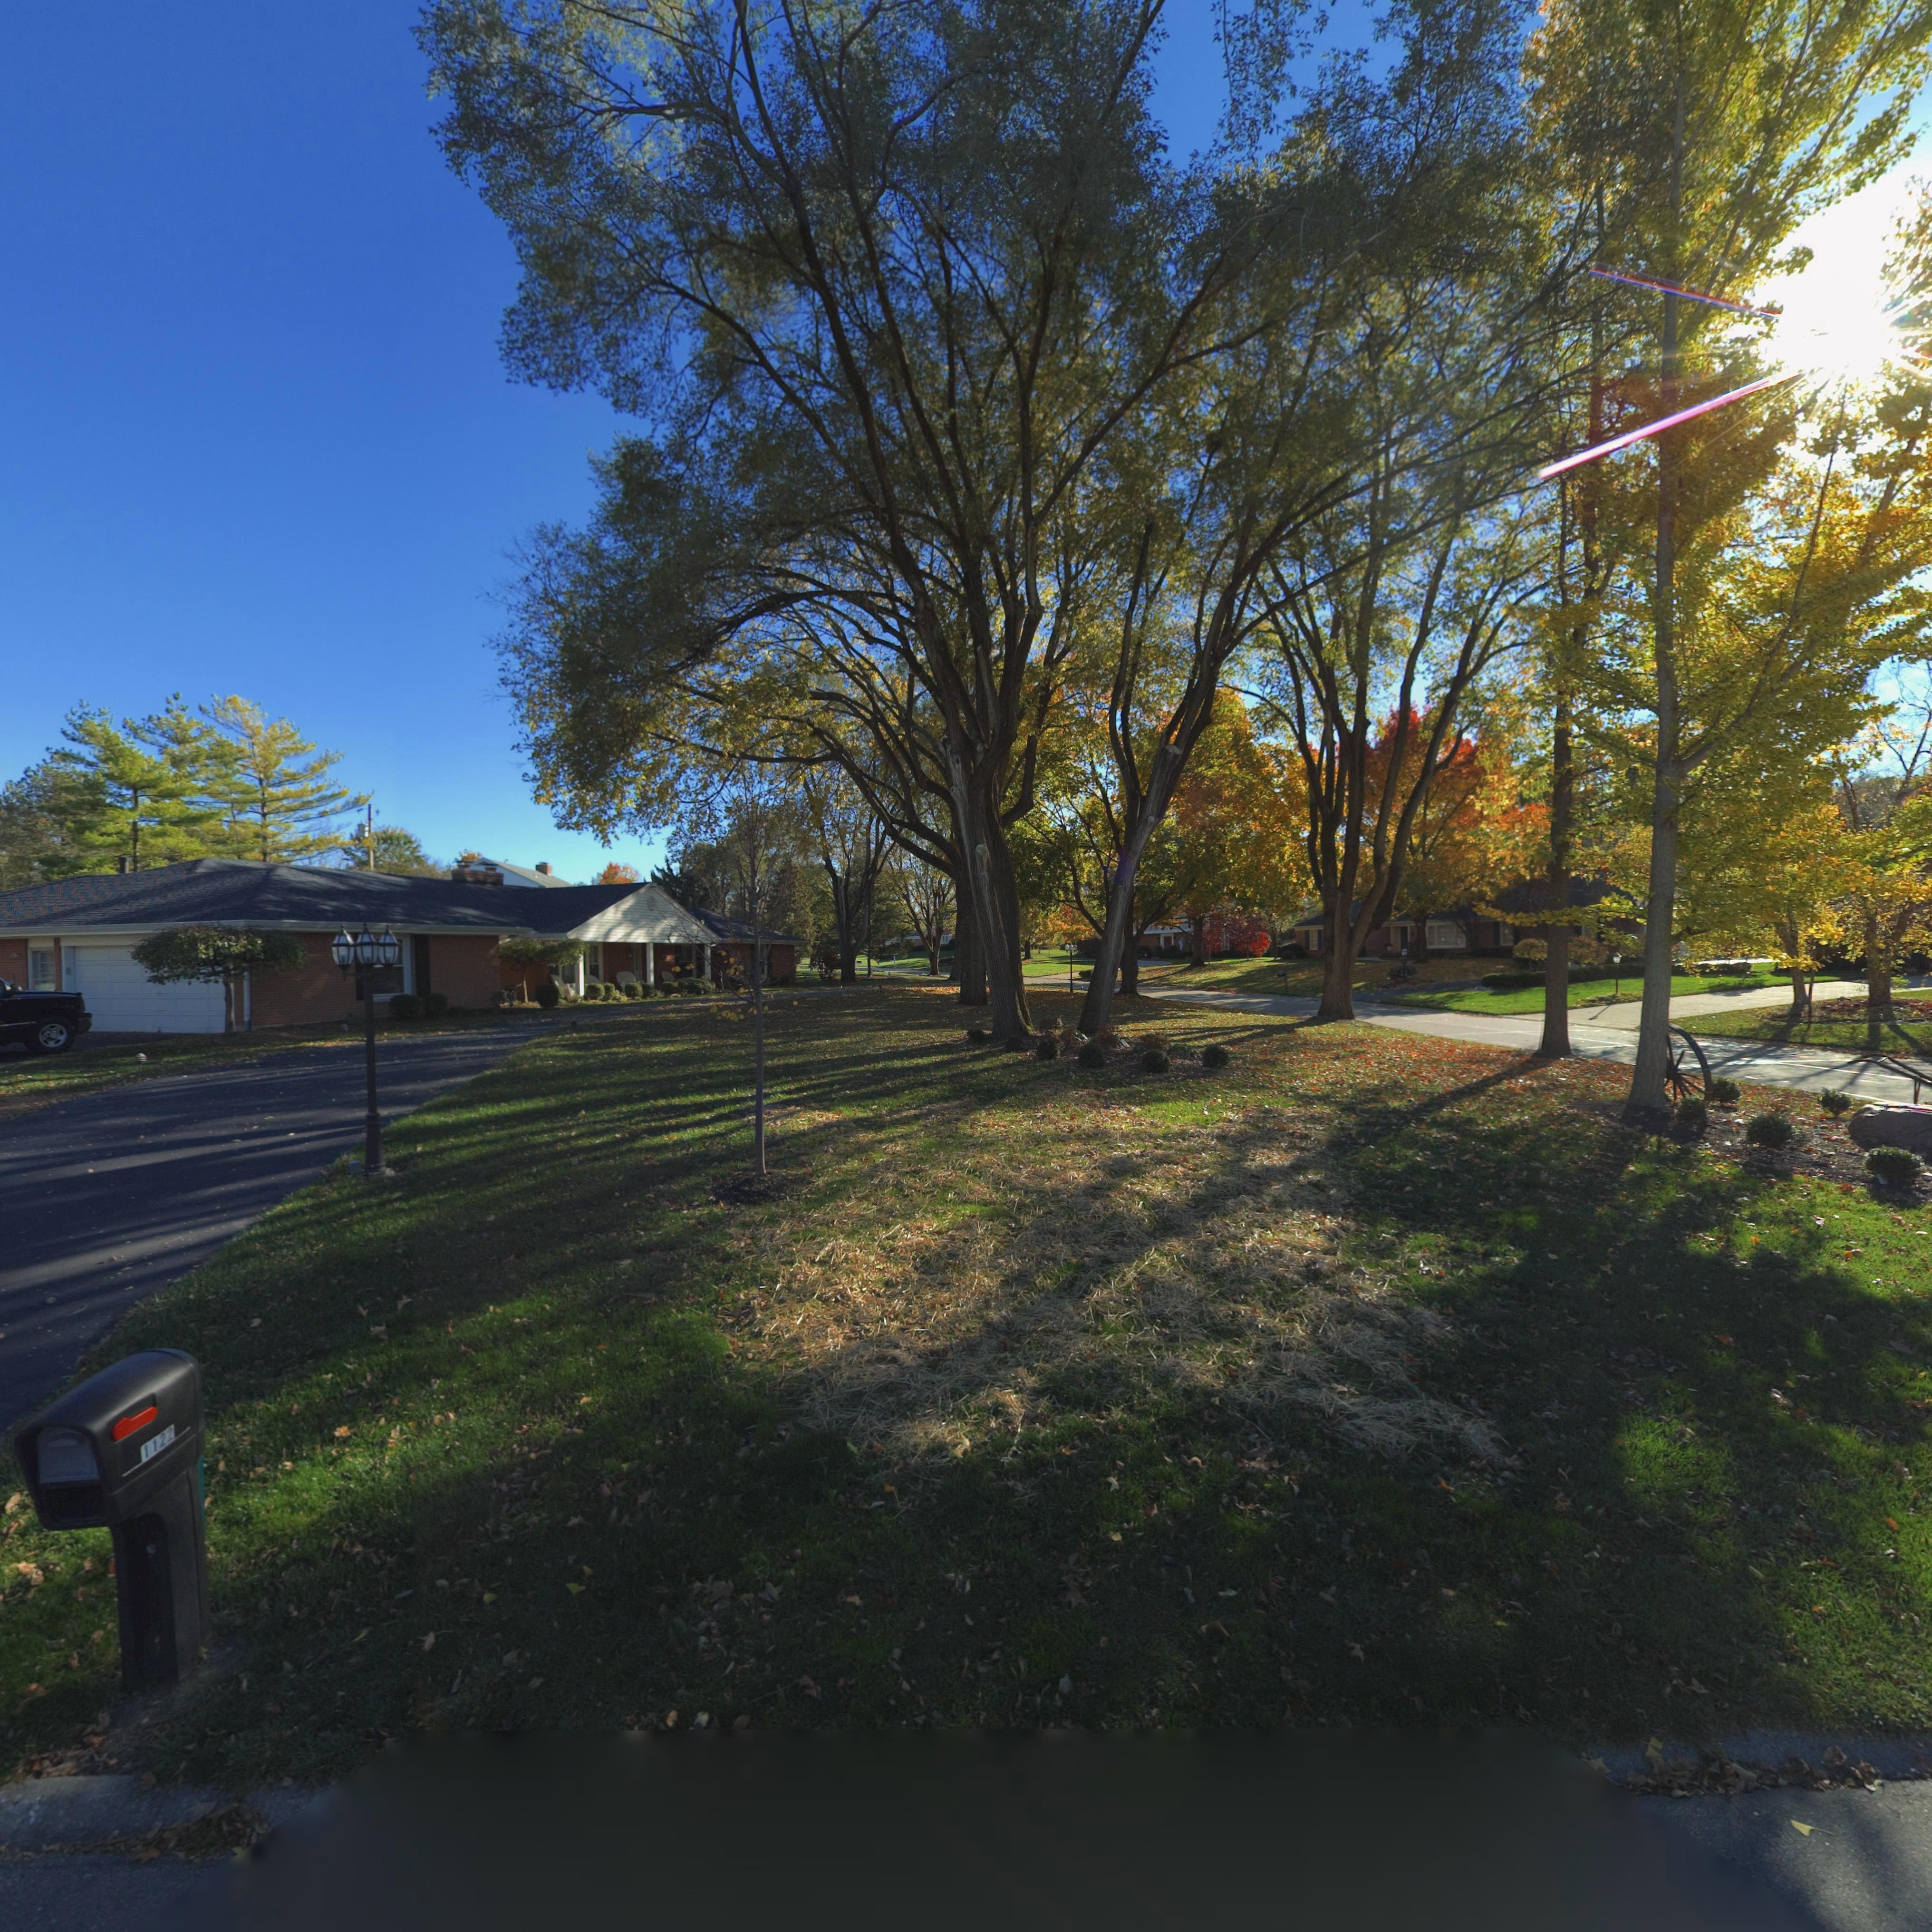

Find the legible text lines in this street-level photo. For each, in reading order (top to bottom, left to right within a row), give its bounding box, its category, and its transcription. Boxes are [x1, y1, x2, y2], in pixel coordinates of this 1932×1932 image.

[143, 1425, 174, 1460] StreetNumber: 1122